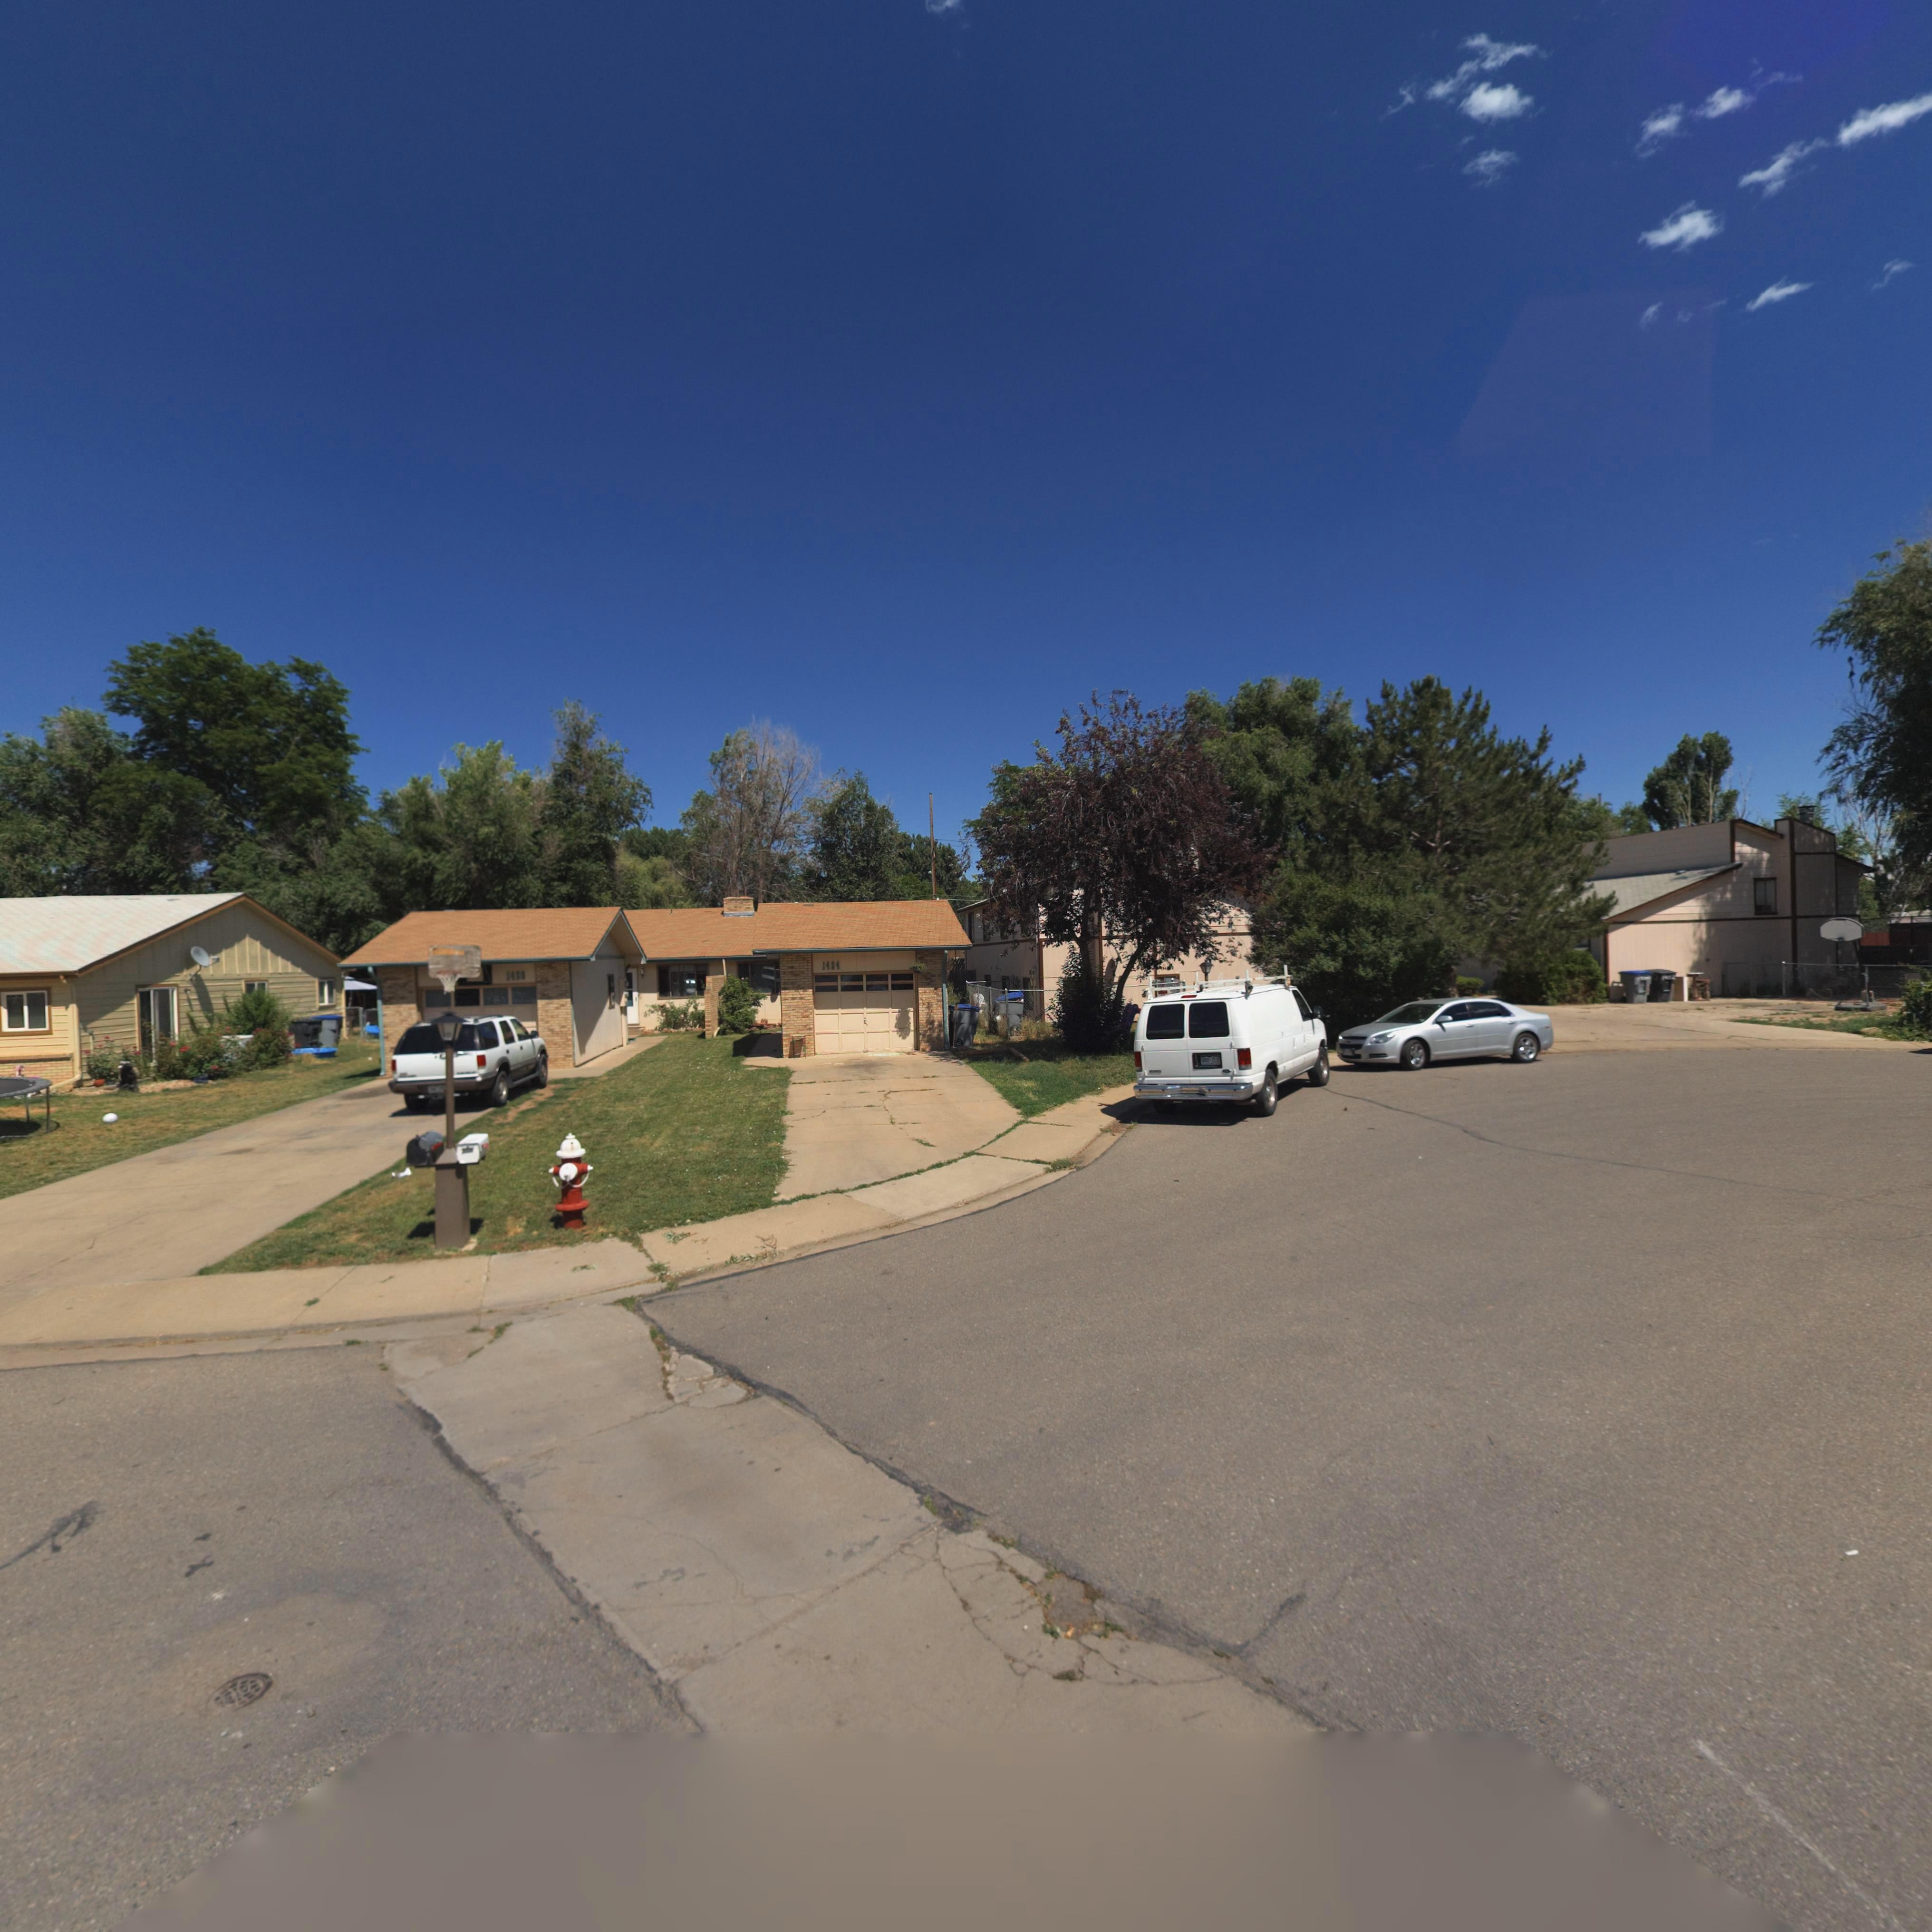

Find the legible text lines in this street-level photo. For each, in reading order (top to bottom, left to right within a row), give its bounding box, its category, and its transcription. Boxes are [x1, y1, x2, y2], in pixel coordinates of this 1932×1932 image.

[822, 960, 839, 970] StreetNumber: 1424
[505, 970, 525, 981] StreetNumber: 14**